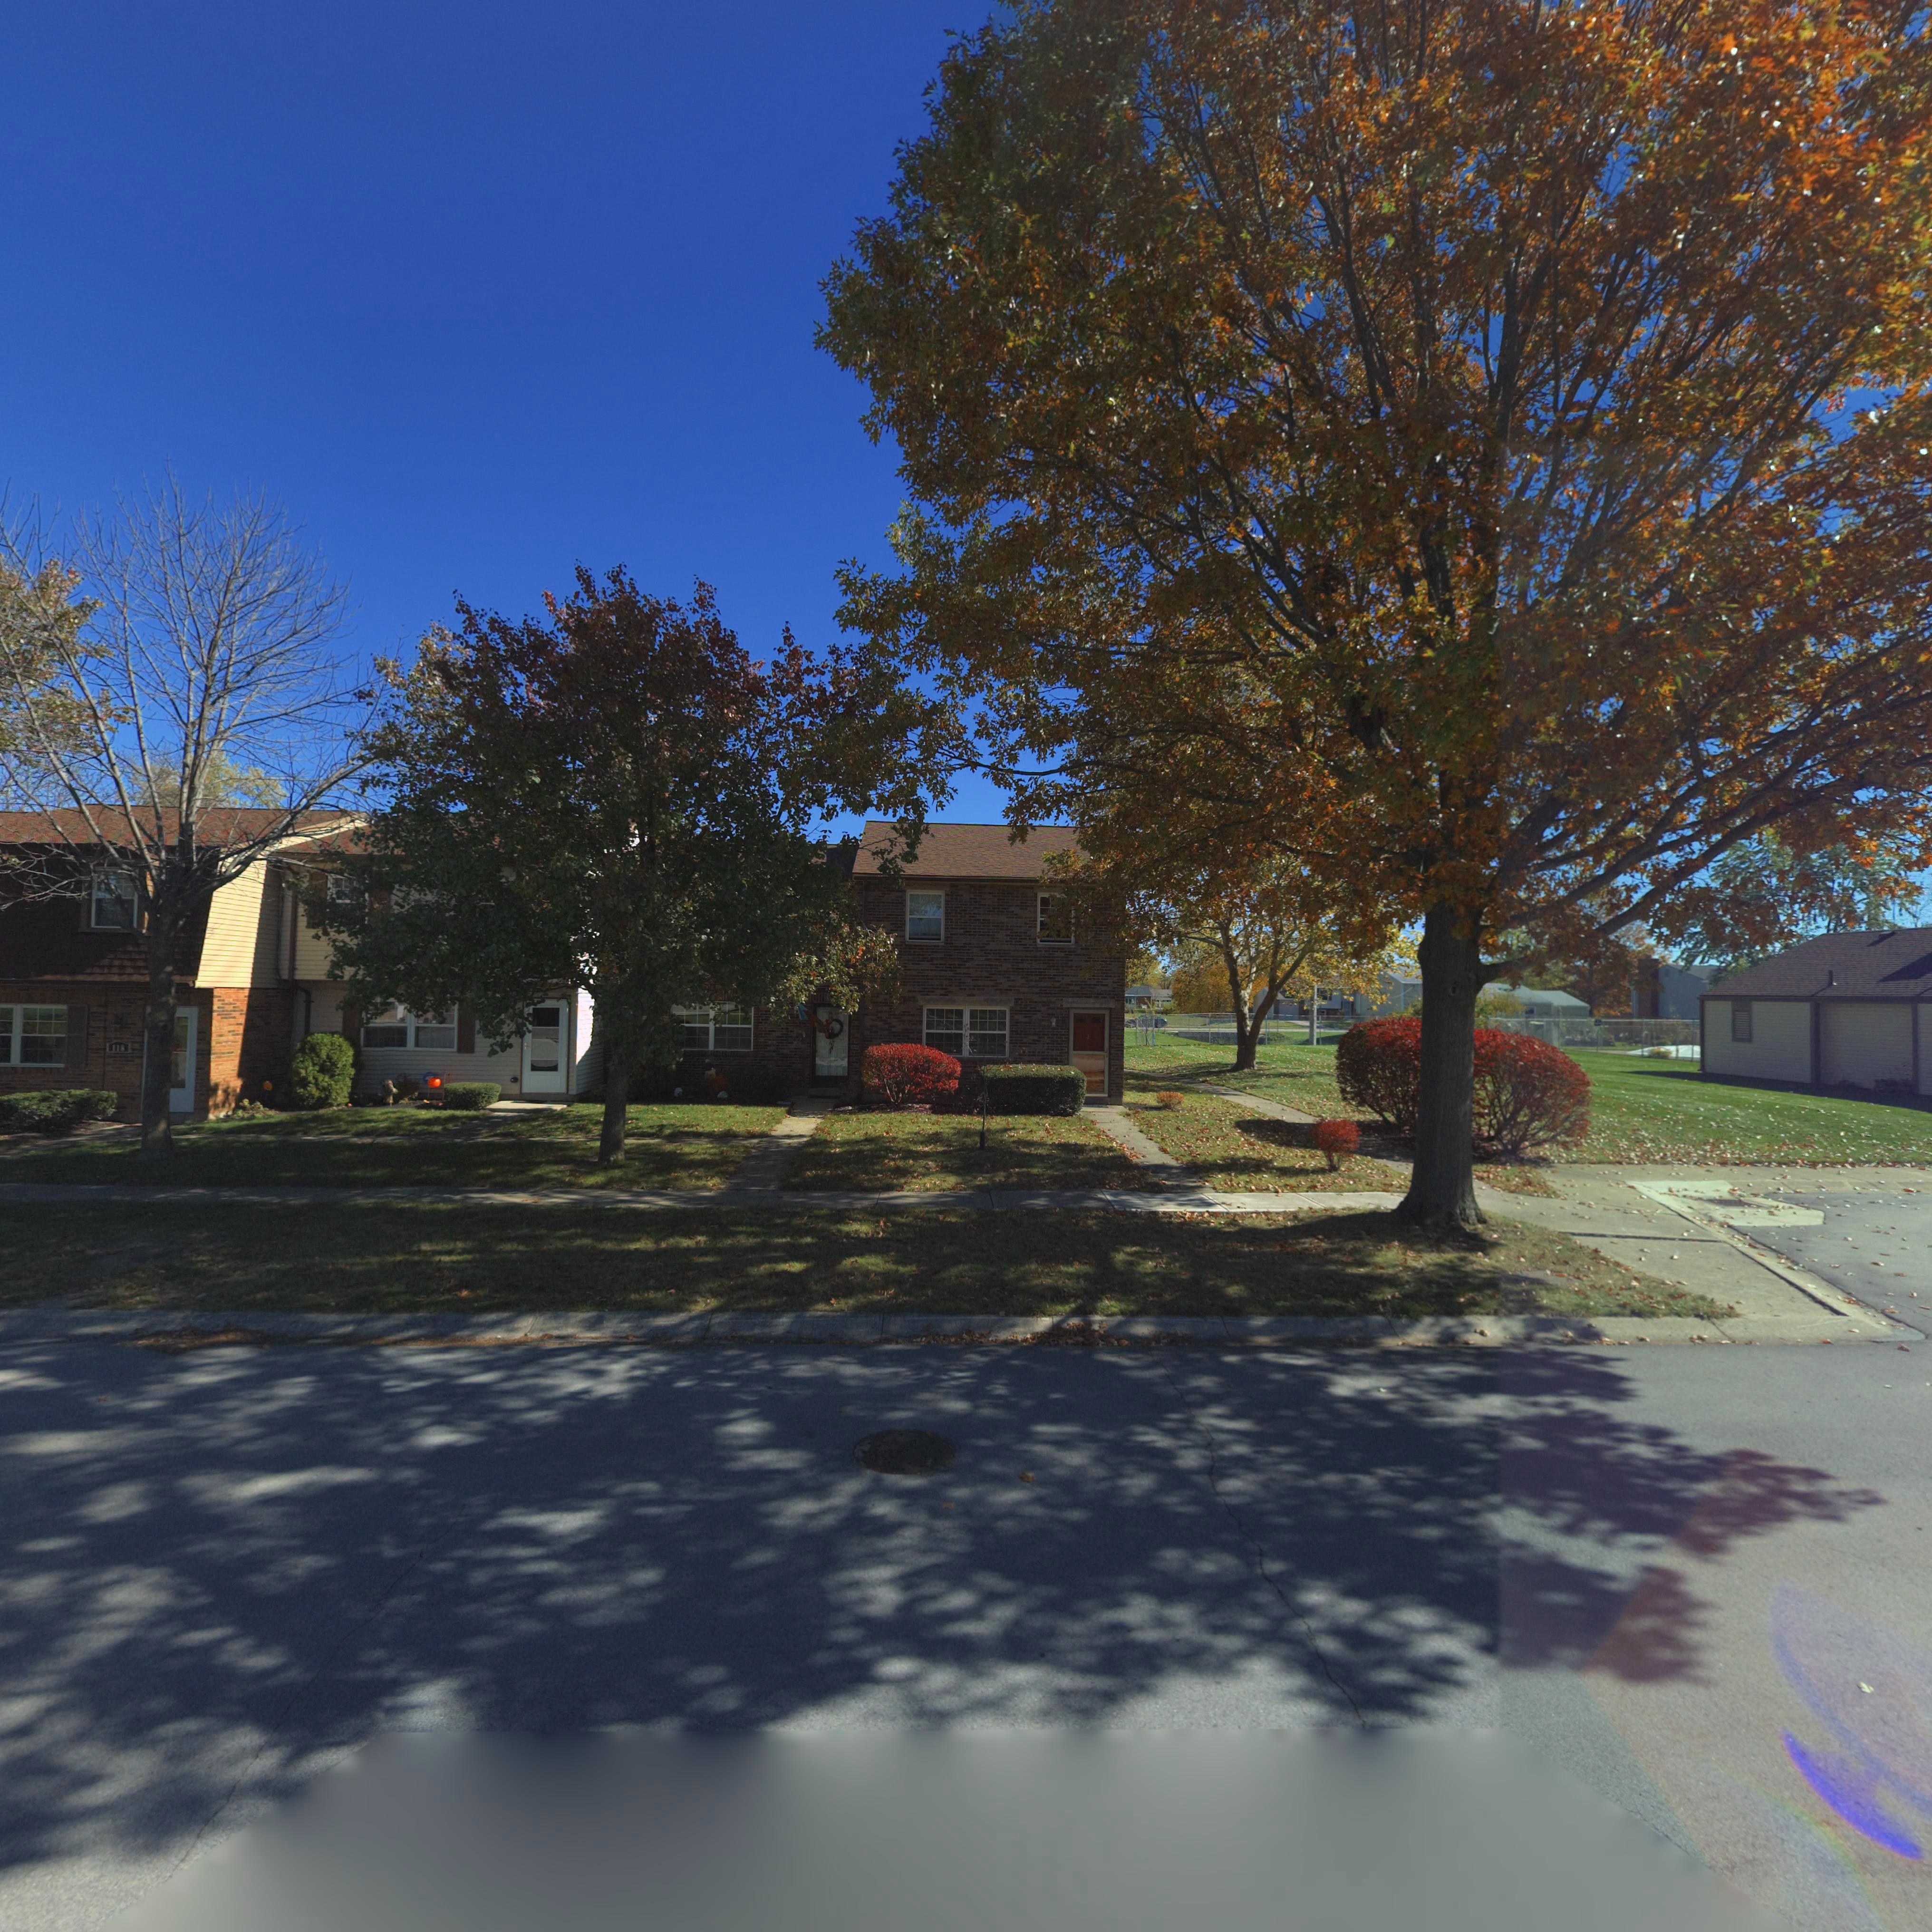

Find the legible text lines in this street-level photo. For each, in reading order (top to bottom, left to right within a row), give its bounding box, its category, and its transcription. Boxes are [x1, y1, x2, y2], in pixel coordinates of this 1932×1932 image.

[111, 1043, 126, 1053] StreetNumber: 118